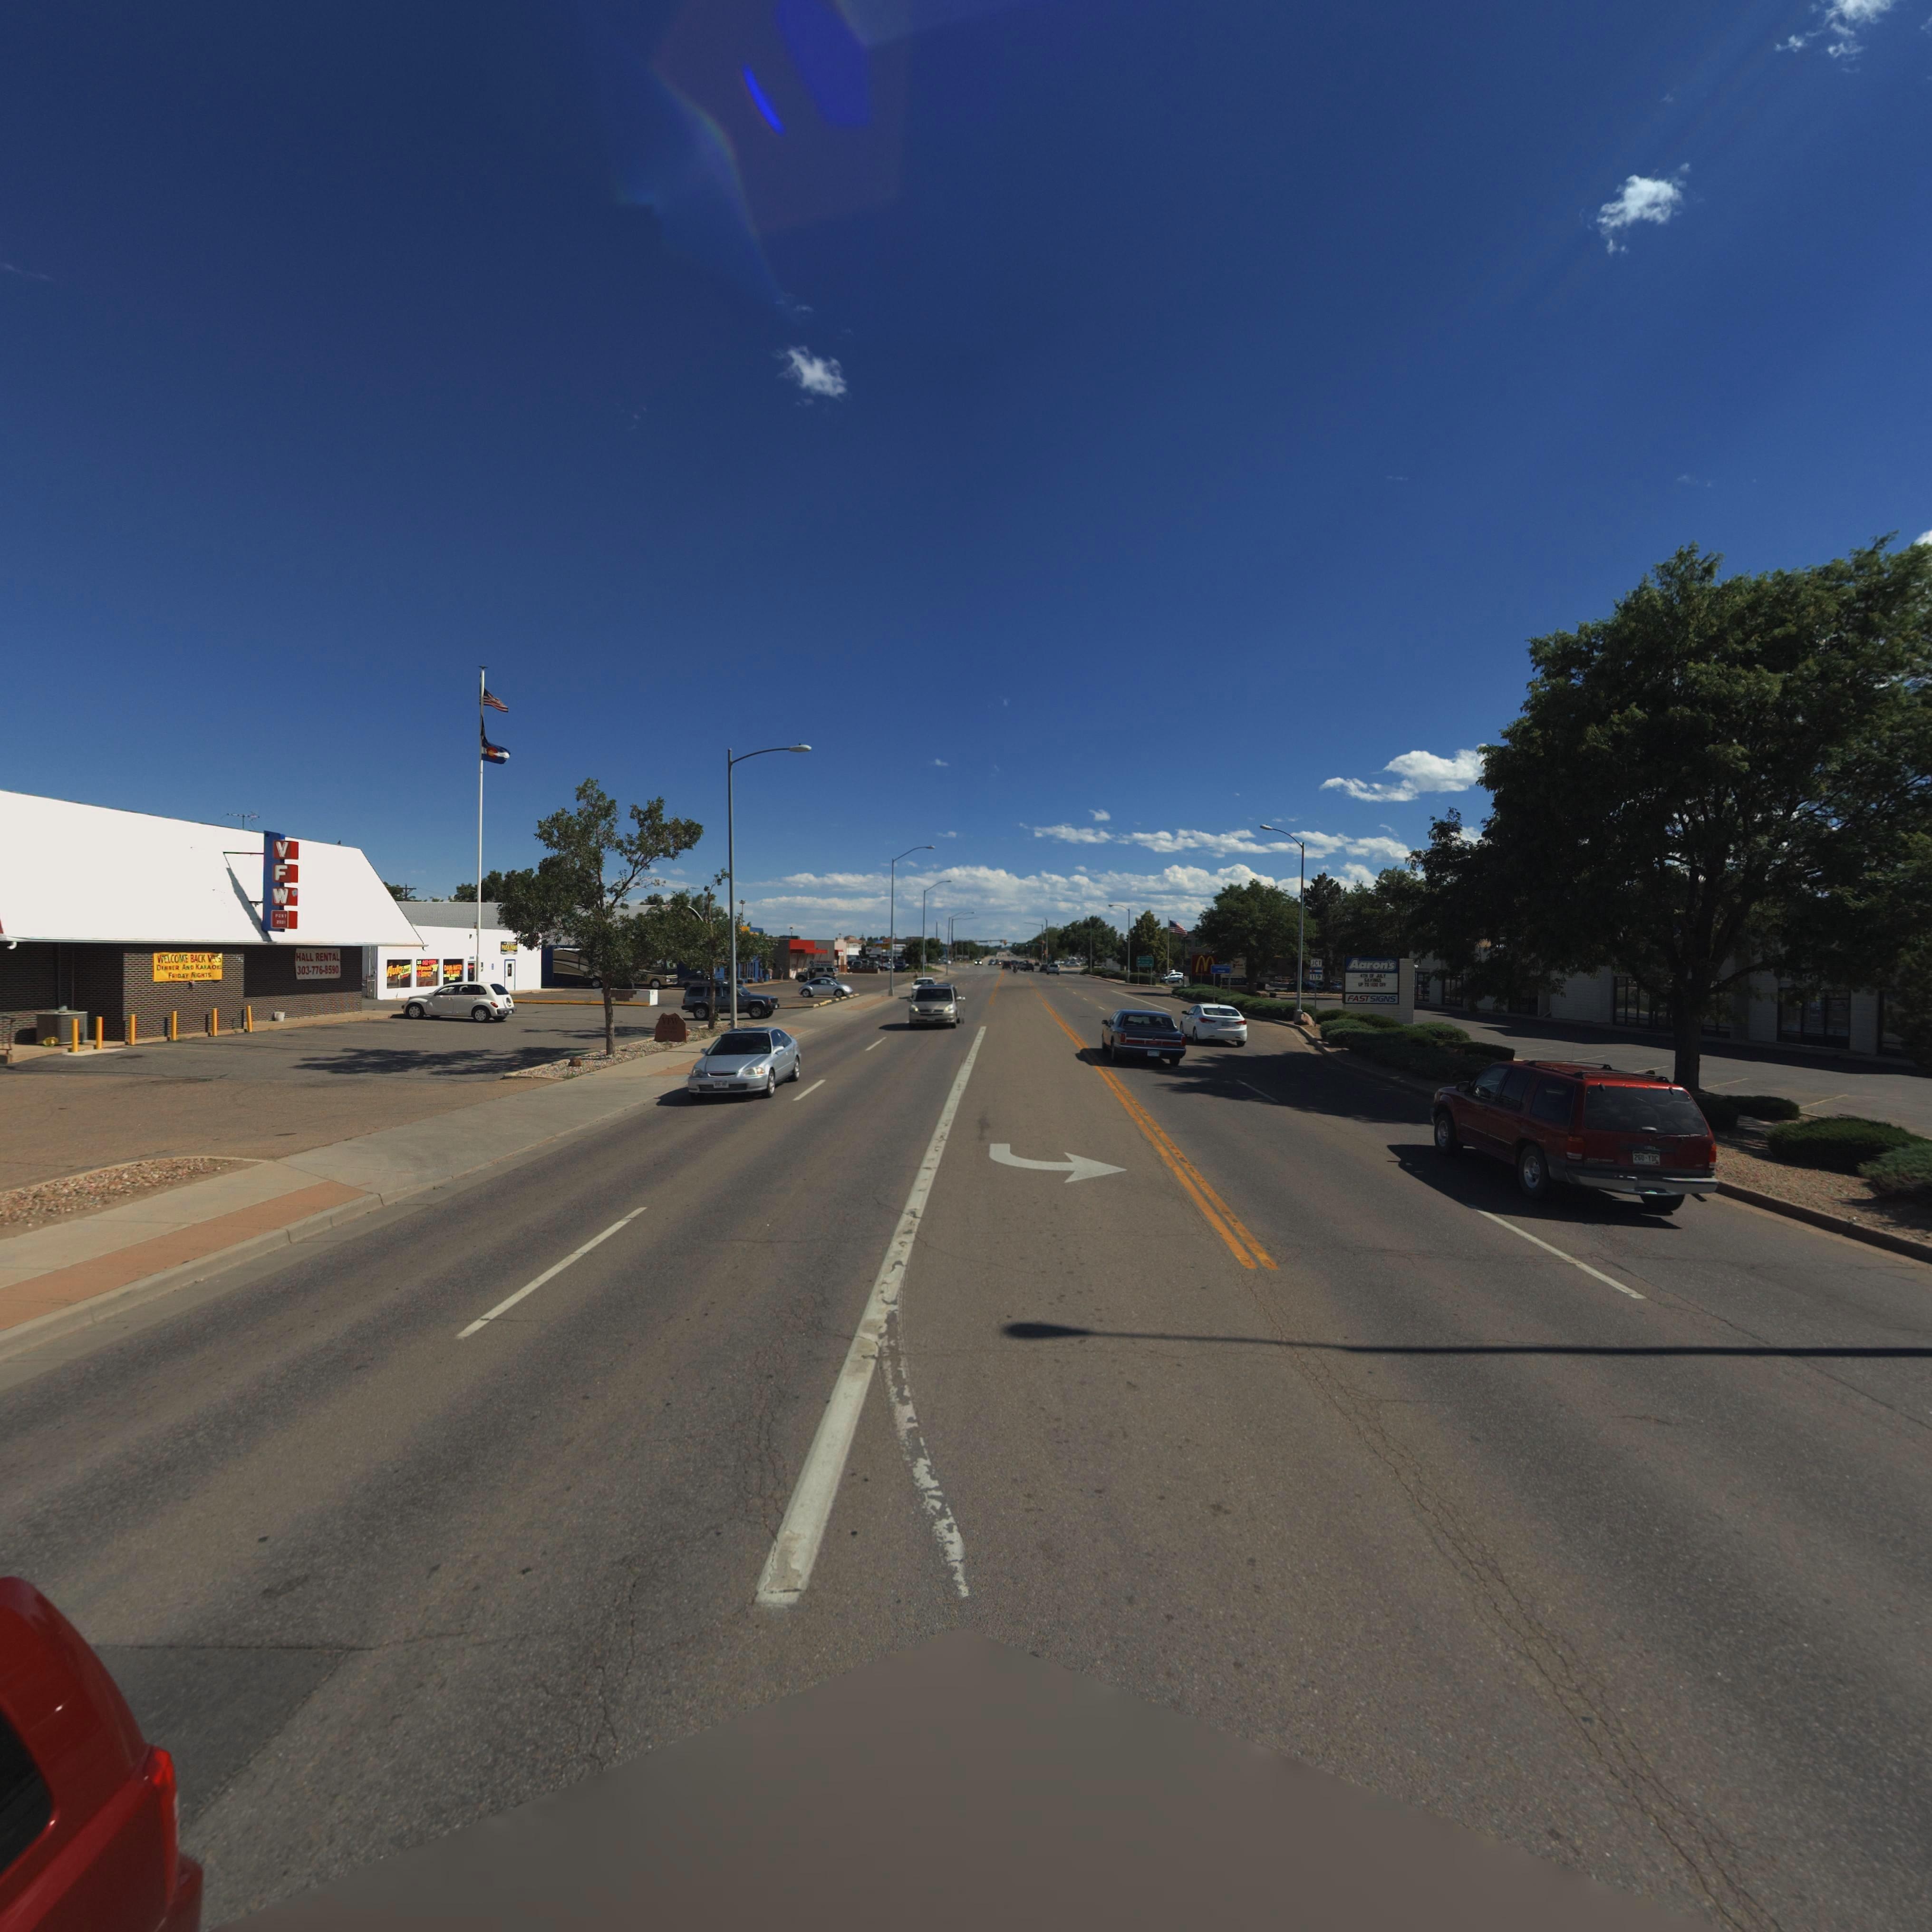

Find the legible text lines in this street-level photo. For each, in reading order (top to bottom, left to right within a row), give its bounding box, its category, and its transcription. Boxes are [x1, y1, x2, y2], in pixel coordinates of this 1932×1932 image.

[271, 840, 290, 904] BusinessName: VFW
[501, 944, 510, 950] BusinessName: P*ISA
[1347, 959, 1395, 970] BusinessName: Aaron's